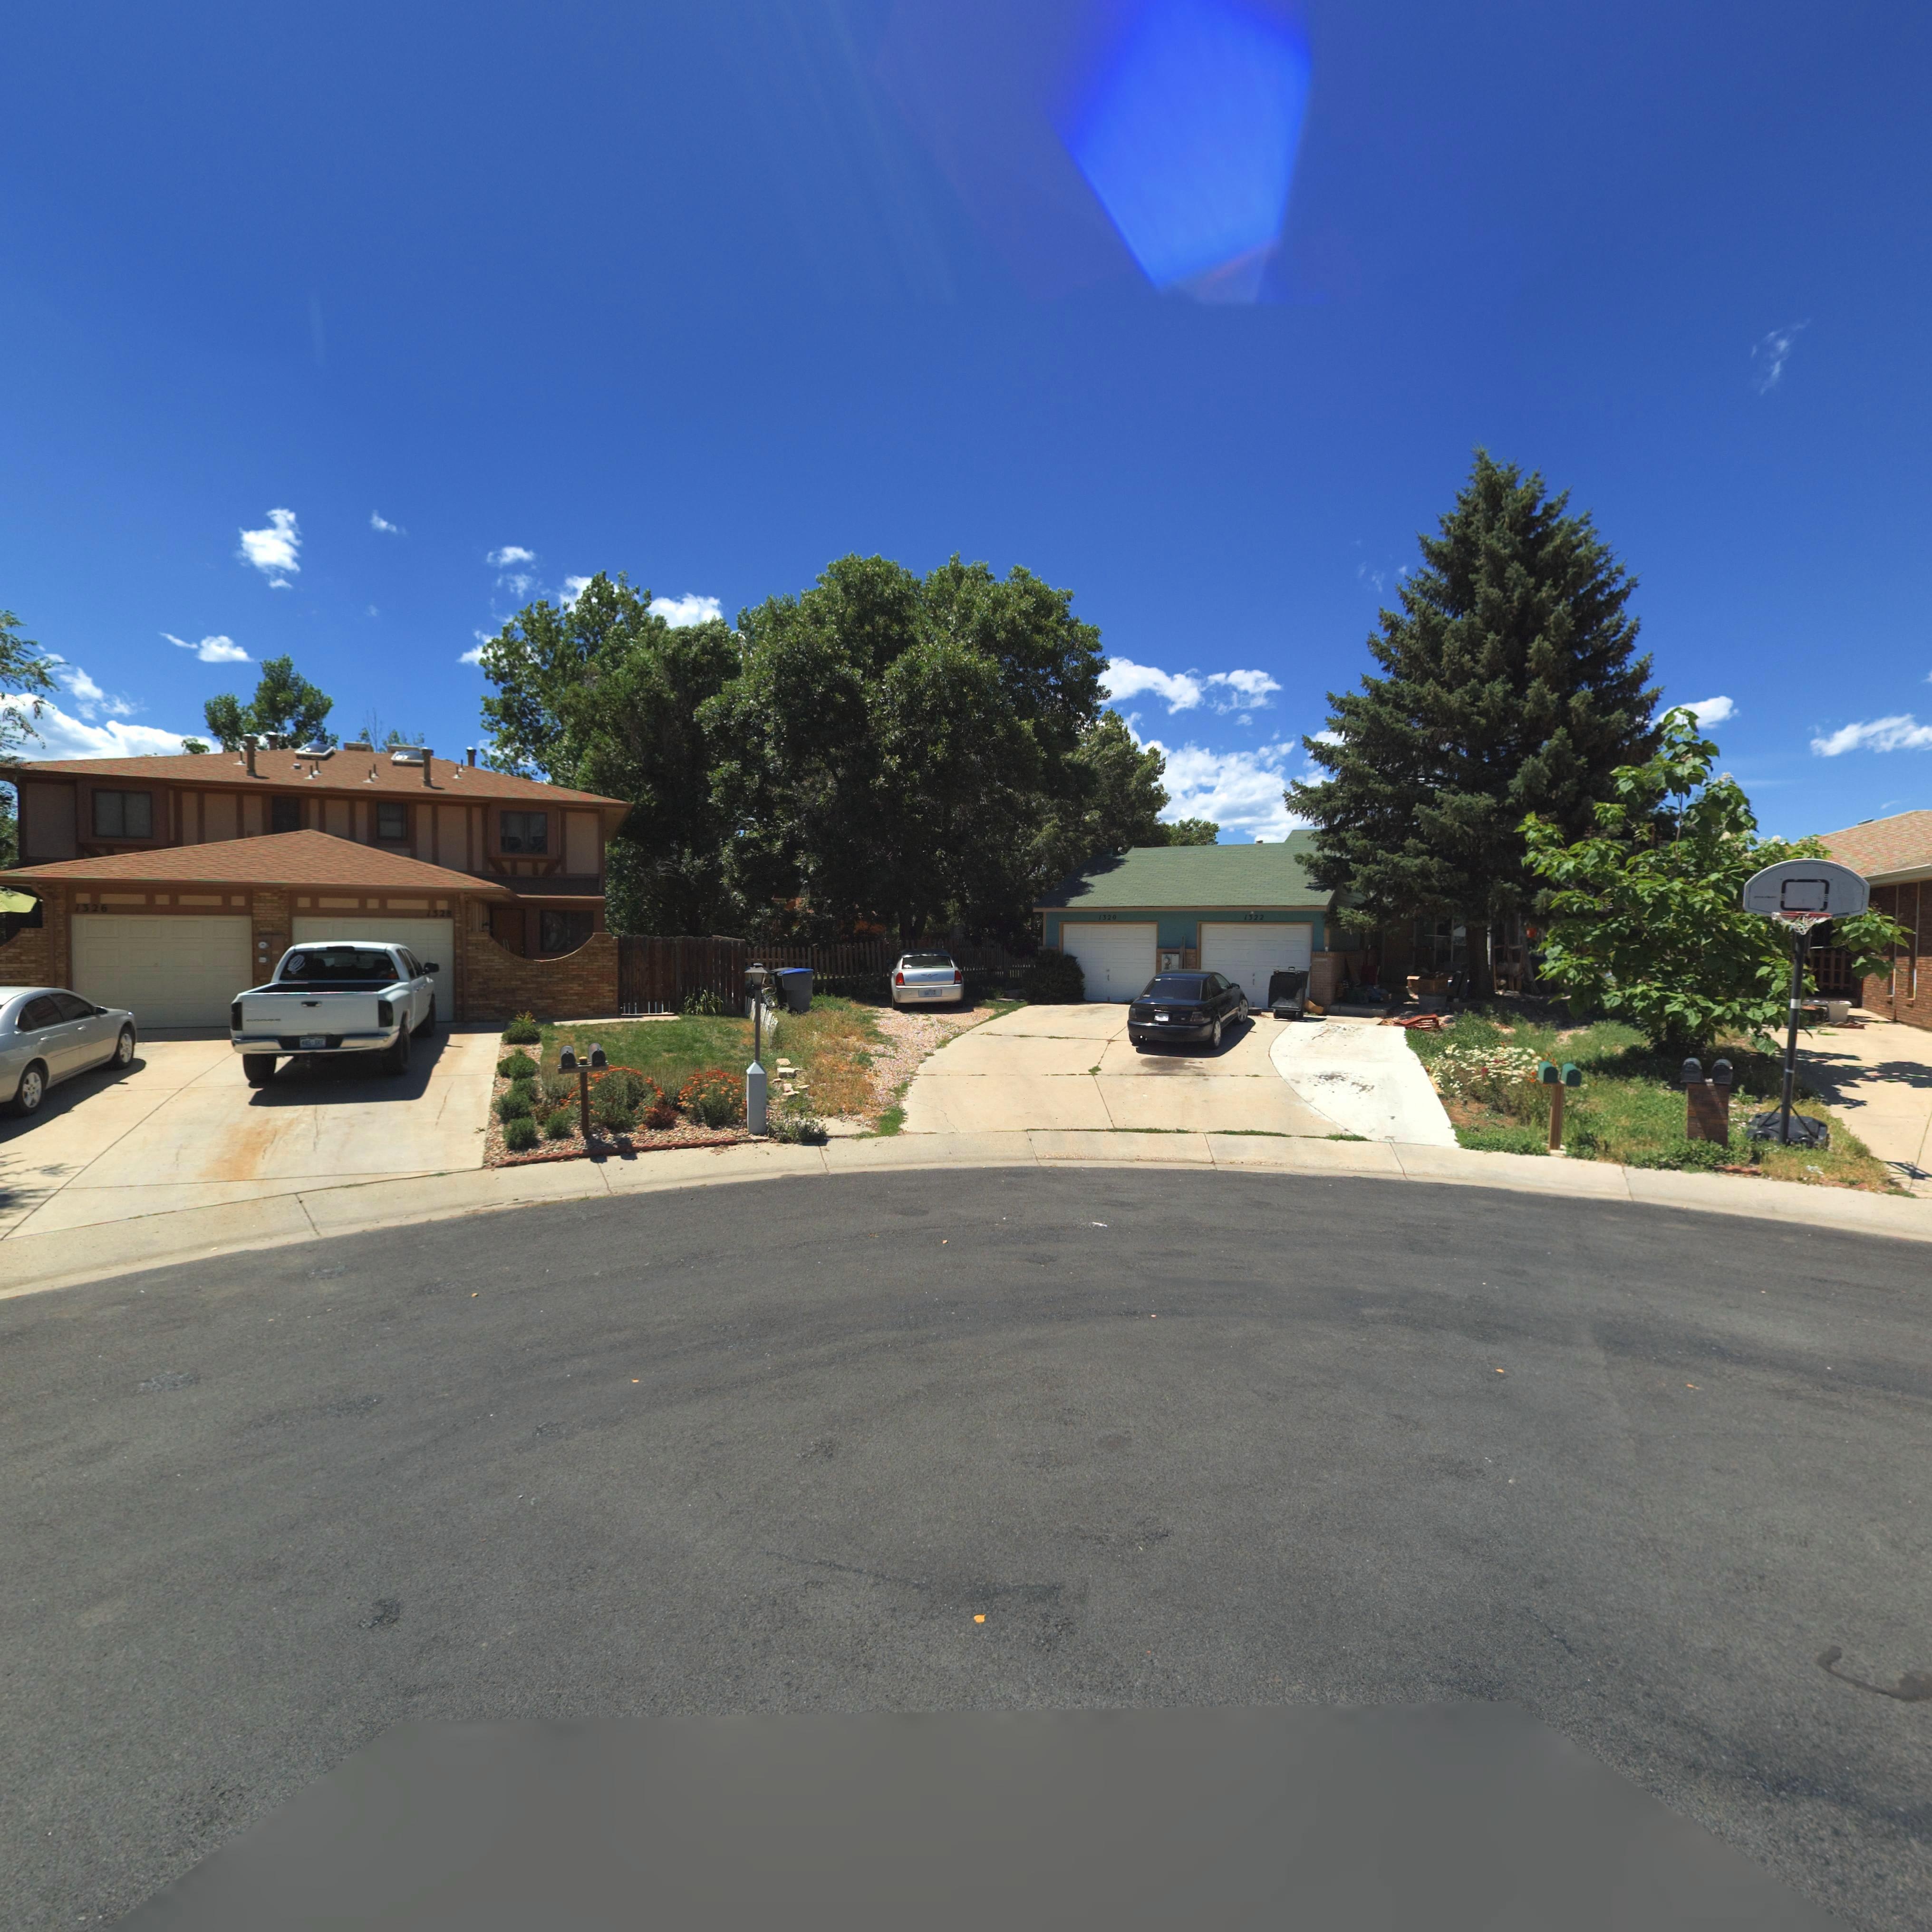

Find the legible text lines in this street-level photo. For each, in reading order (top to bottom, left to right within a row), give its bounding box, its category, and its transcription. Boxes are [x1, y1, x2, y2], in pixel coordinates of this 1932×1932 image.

[73, 903, 108, 913] StreetNumber: 1326
[425, 909, 453, 918] StreetNumber: 1328
[1098, 914, 1117, 920] StreetNumber: 1320
[1244, 914, 1264, 920] StreetNumber: 1322